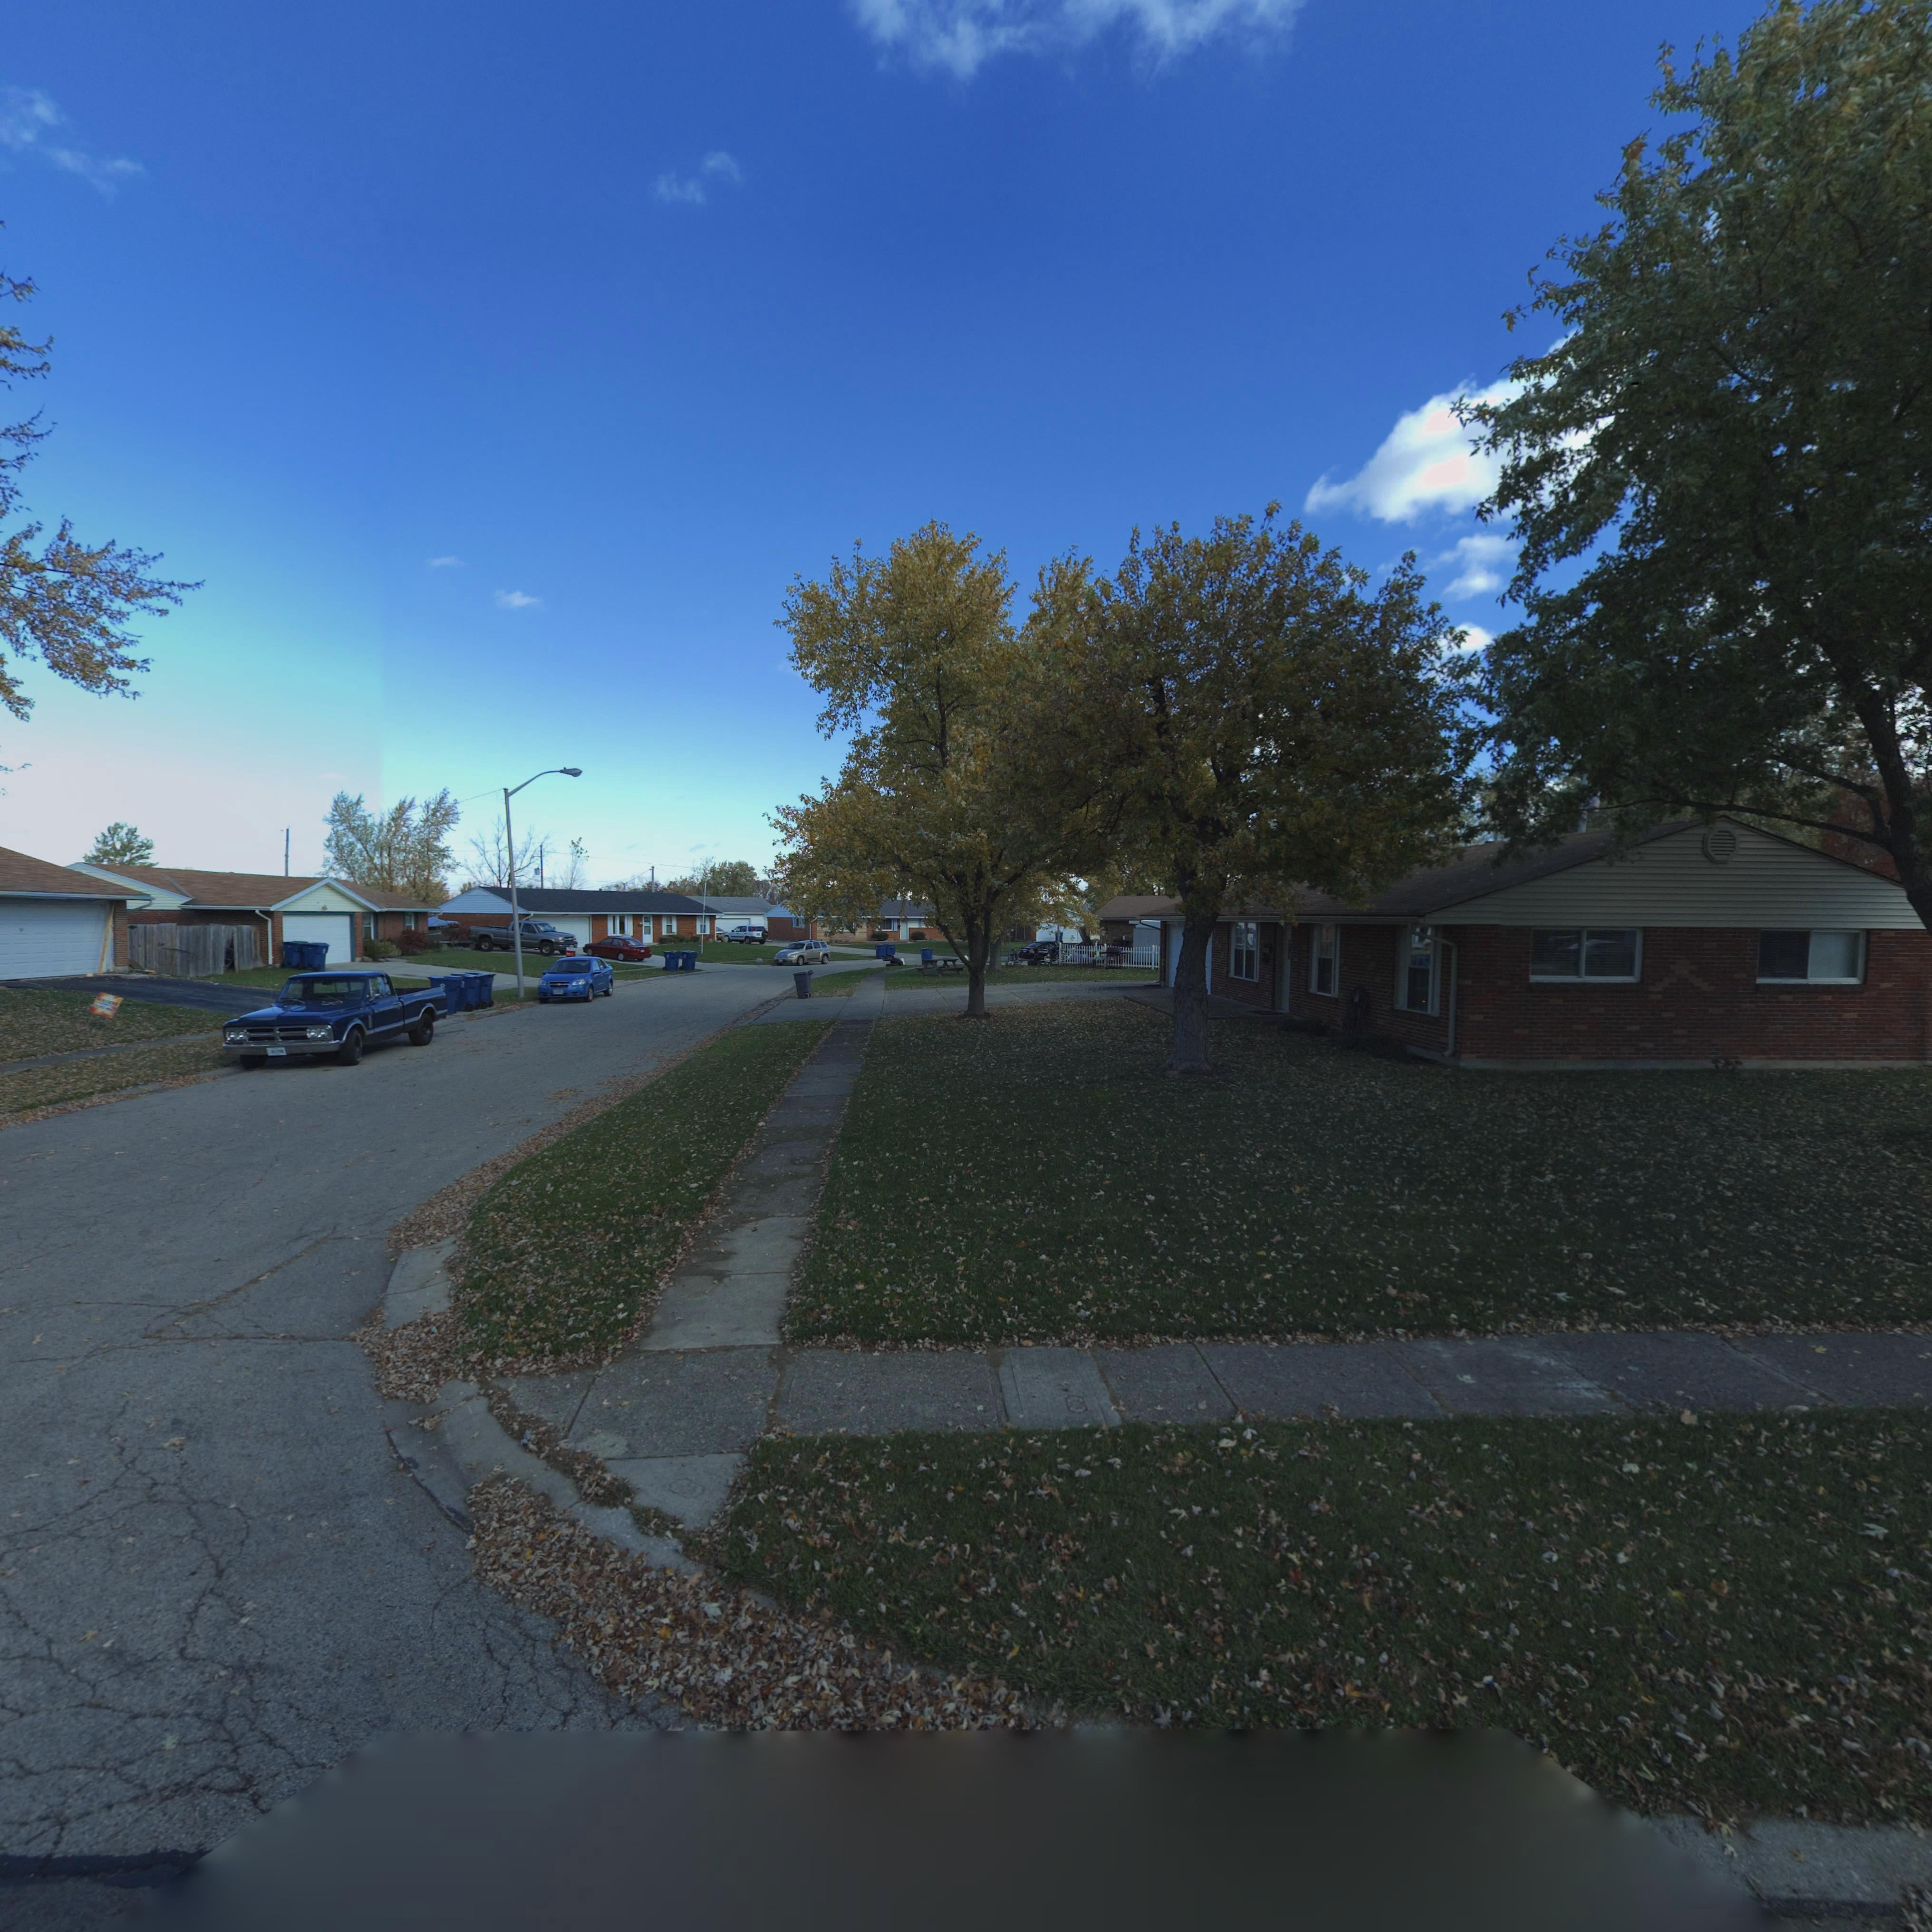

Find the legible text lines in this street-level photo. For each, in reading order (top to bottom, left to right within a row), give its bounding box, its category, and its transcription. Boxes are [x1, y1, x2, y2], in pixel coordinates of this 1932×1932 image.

[1213, 930, 1226, 960] StreetNumber: **00